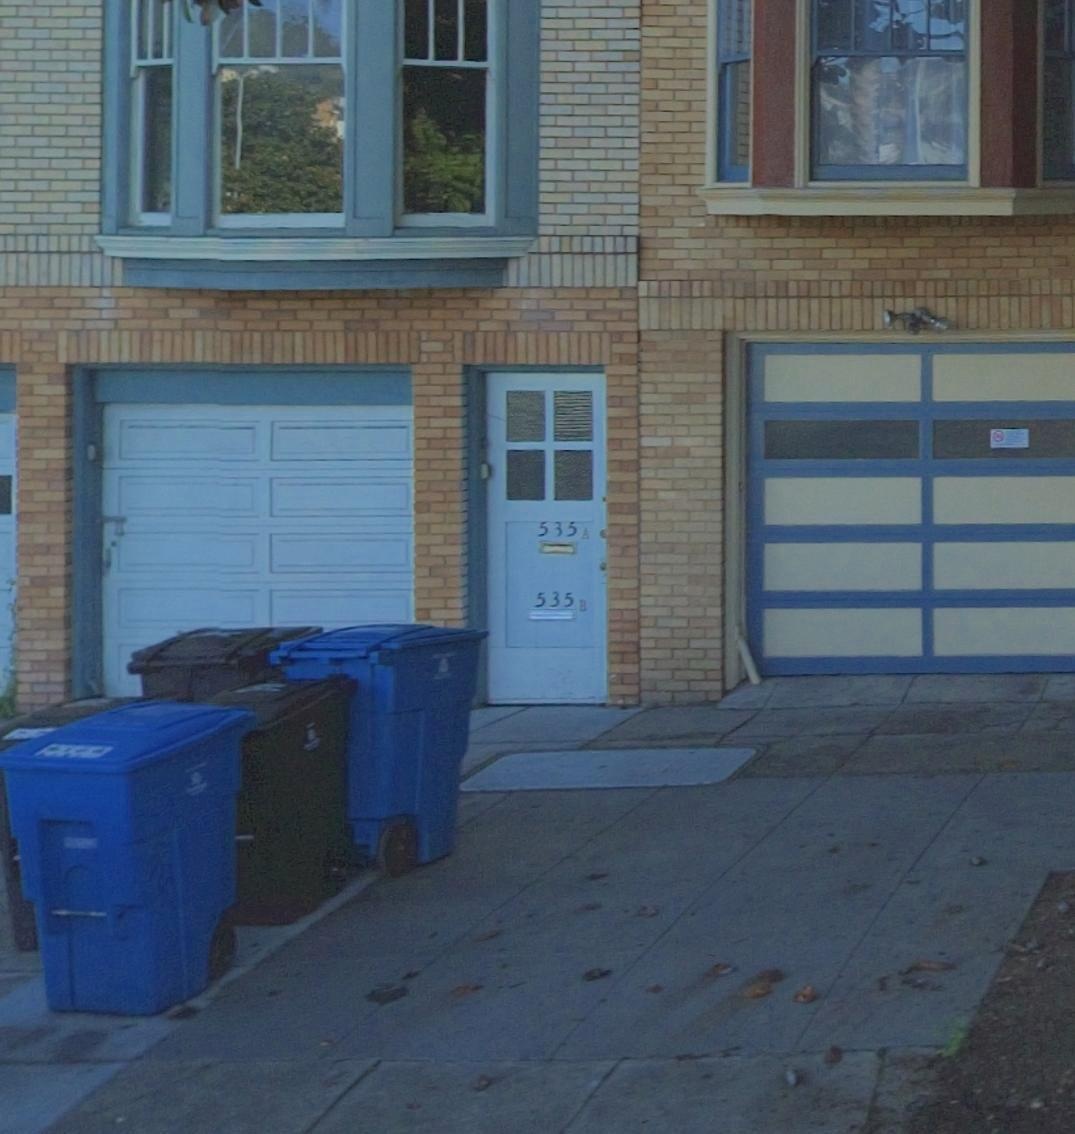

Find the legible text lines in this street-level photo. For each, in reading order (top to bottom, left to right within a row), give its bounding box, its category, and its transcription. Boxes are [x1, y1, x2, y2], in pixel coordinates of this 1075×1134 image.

[537, 521, 579, 537] StreetNumber: 535
[580, 526, 587, 539] SecondaryUnitDesignator: A
[532, 590, 576, 609] StreetNumber: 535
[577, 597, 587, 611] SecondaryUnitDesignator: B